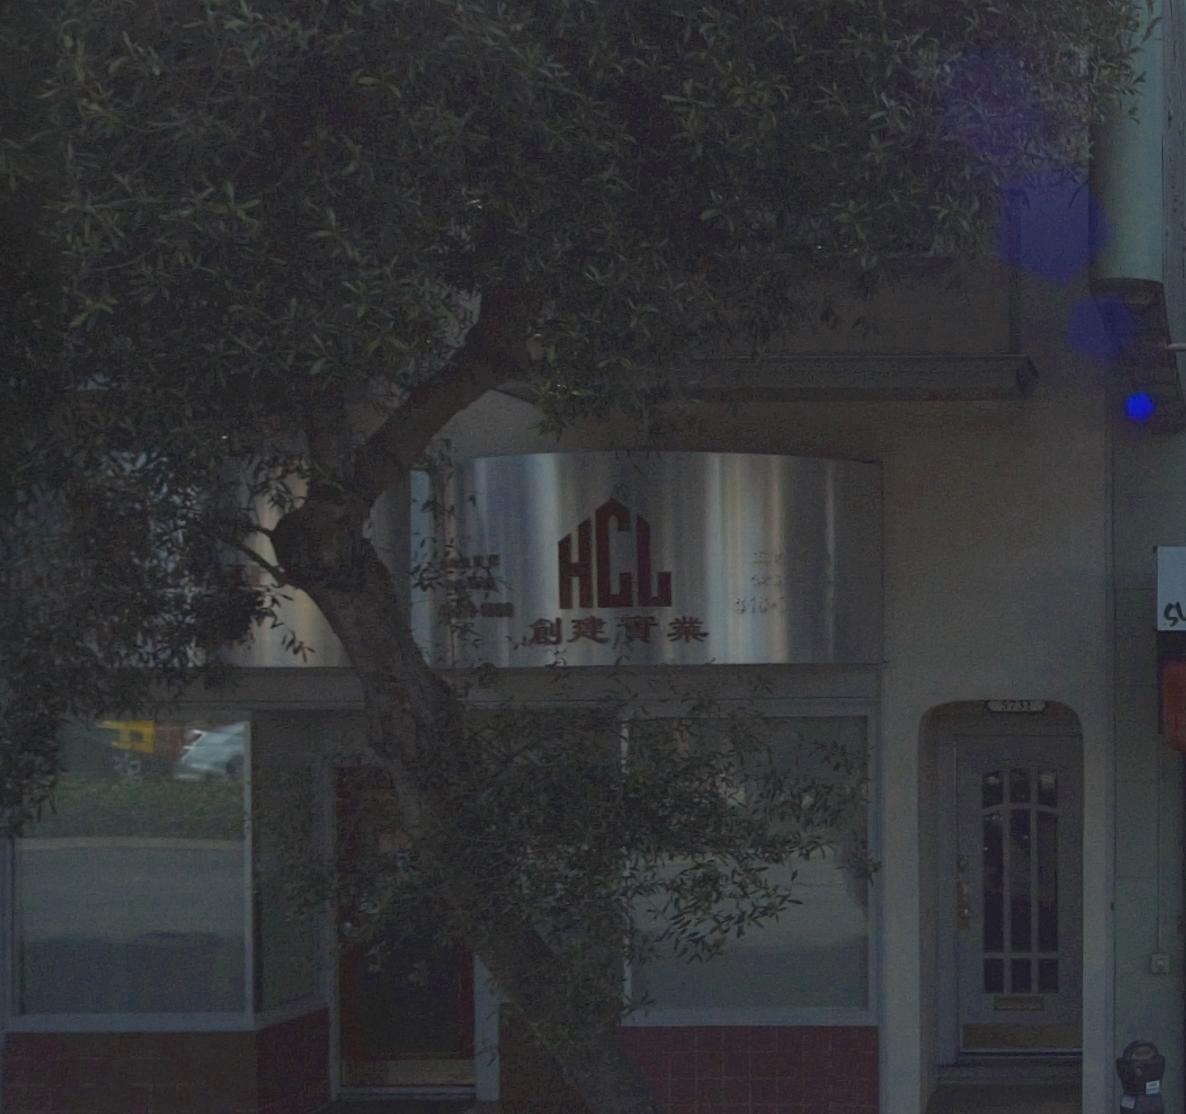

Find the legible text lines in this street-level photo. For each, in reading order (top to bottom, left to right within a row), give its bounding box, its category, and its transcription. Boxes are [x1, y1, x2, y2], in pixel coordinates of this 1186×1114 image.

[555, 494, 675, 610] BusinessName: HCL
[1161, 596, 1180, 628] None: S
[999, 698, 1033, 713] StreetNumber: 5731